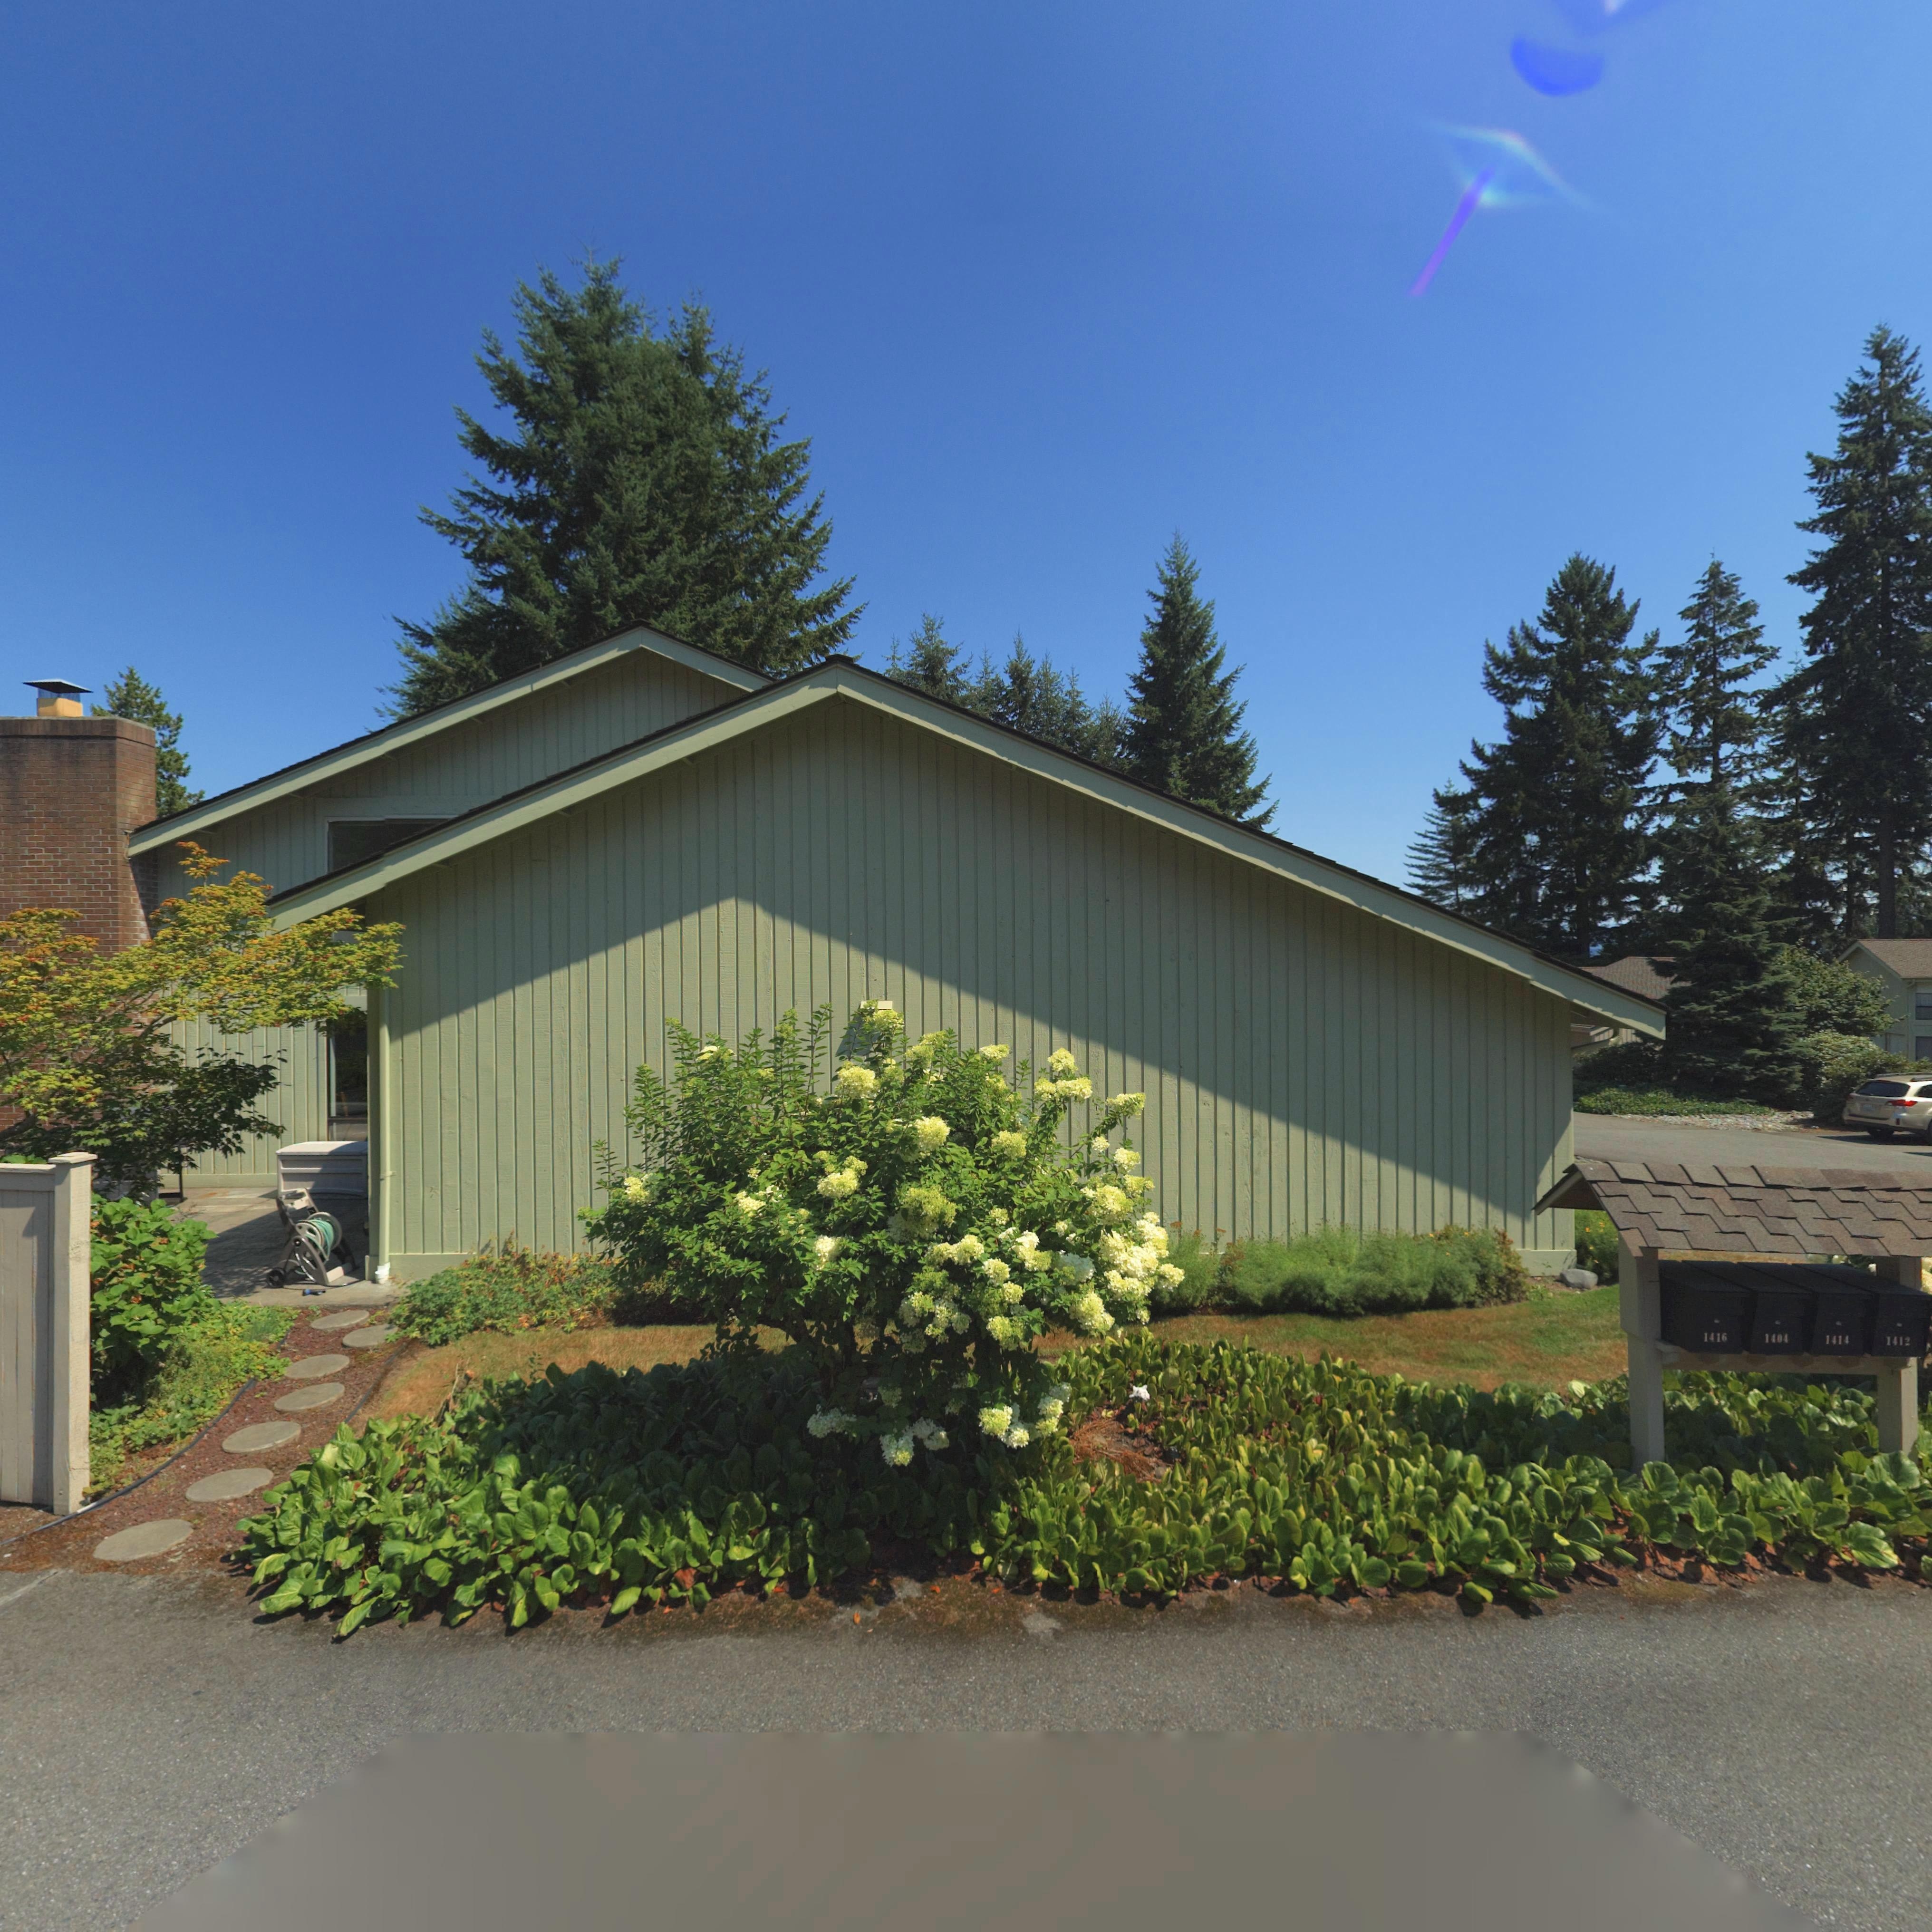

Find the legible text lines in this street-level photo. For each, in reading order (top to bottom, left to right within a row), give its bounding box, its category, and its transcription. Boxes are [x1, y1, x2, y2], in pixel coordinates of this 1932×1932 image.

[1703, 1332, 1727, 1342] StreetNumber: 1416
[1764, 1333, 1789, 1343] StreetNumber: 1404
[1825, 1334, 1849, 1345] StreetNumber: 1414
[1885, 1336, 1911, 1346] StreetNumber: 1412